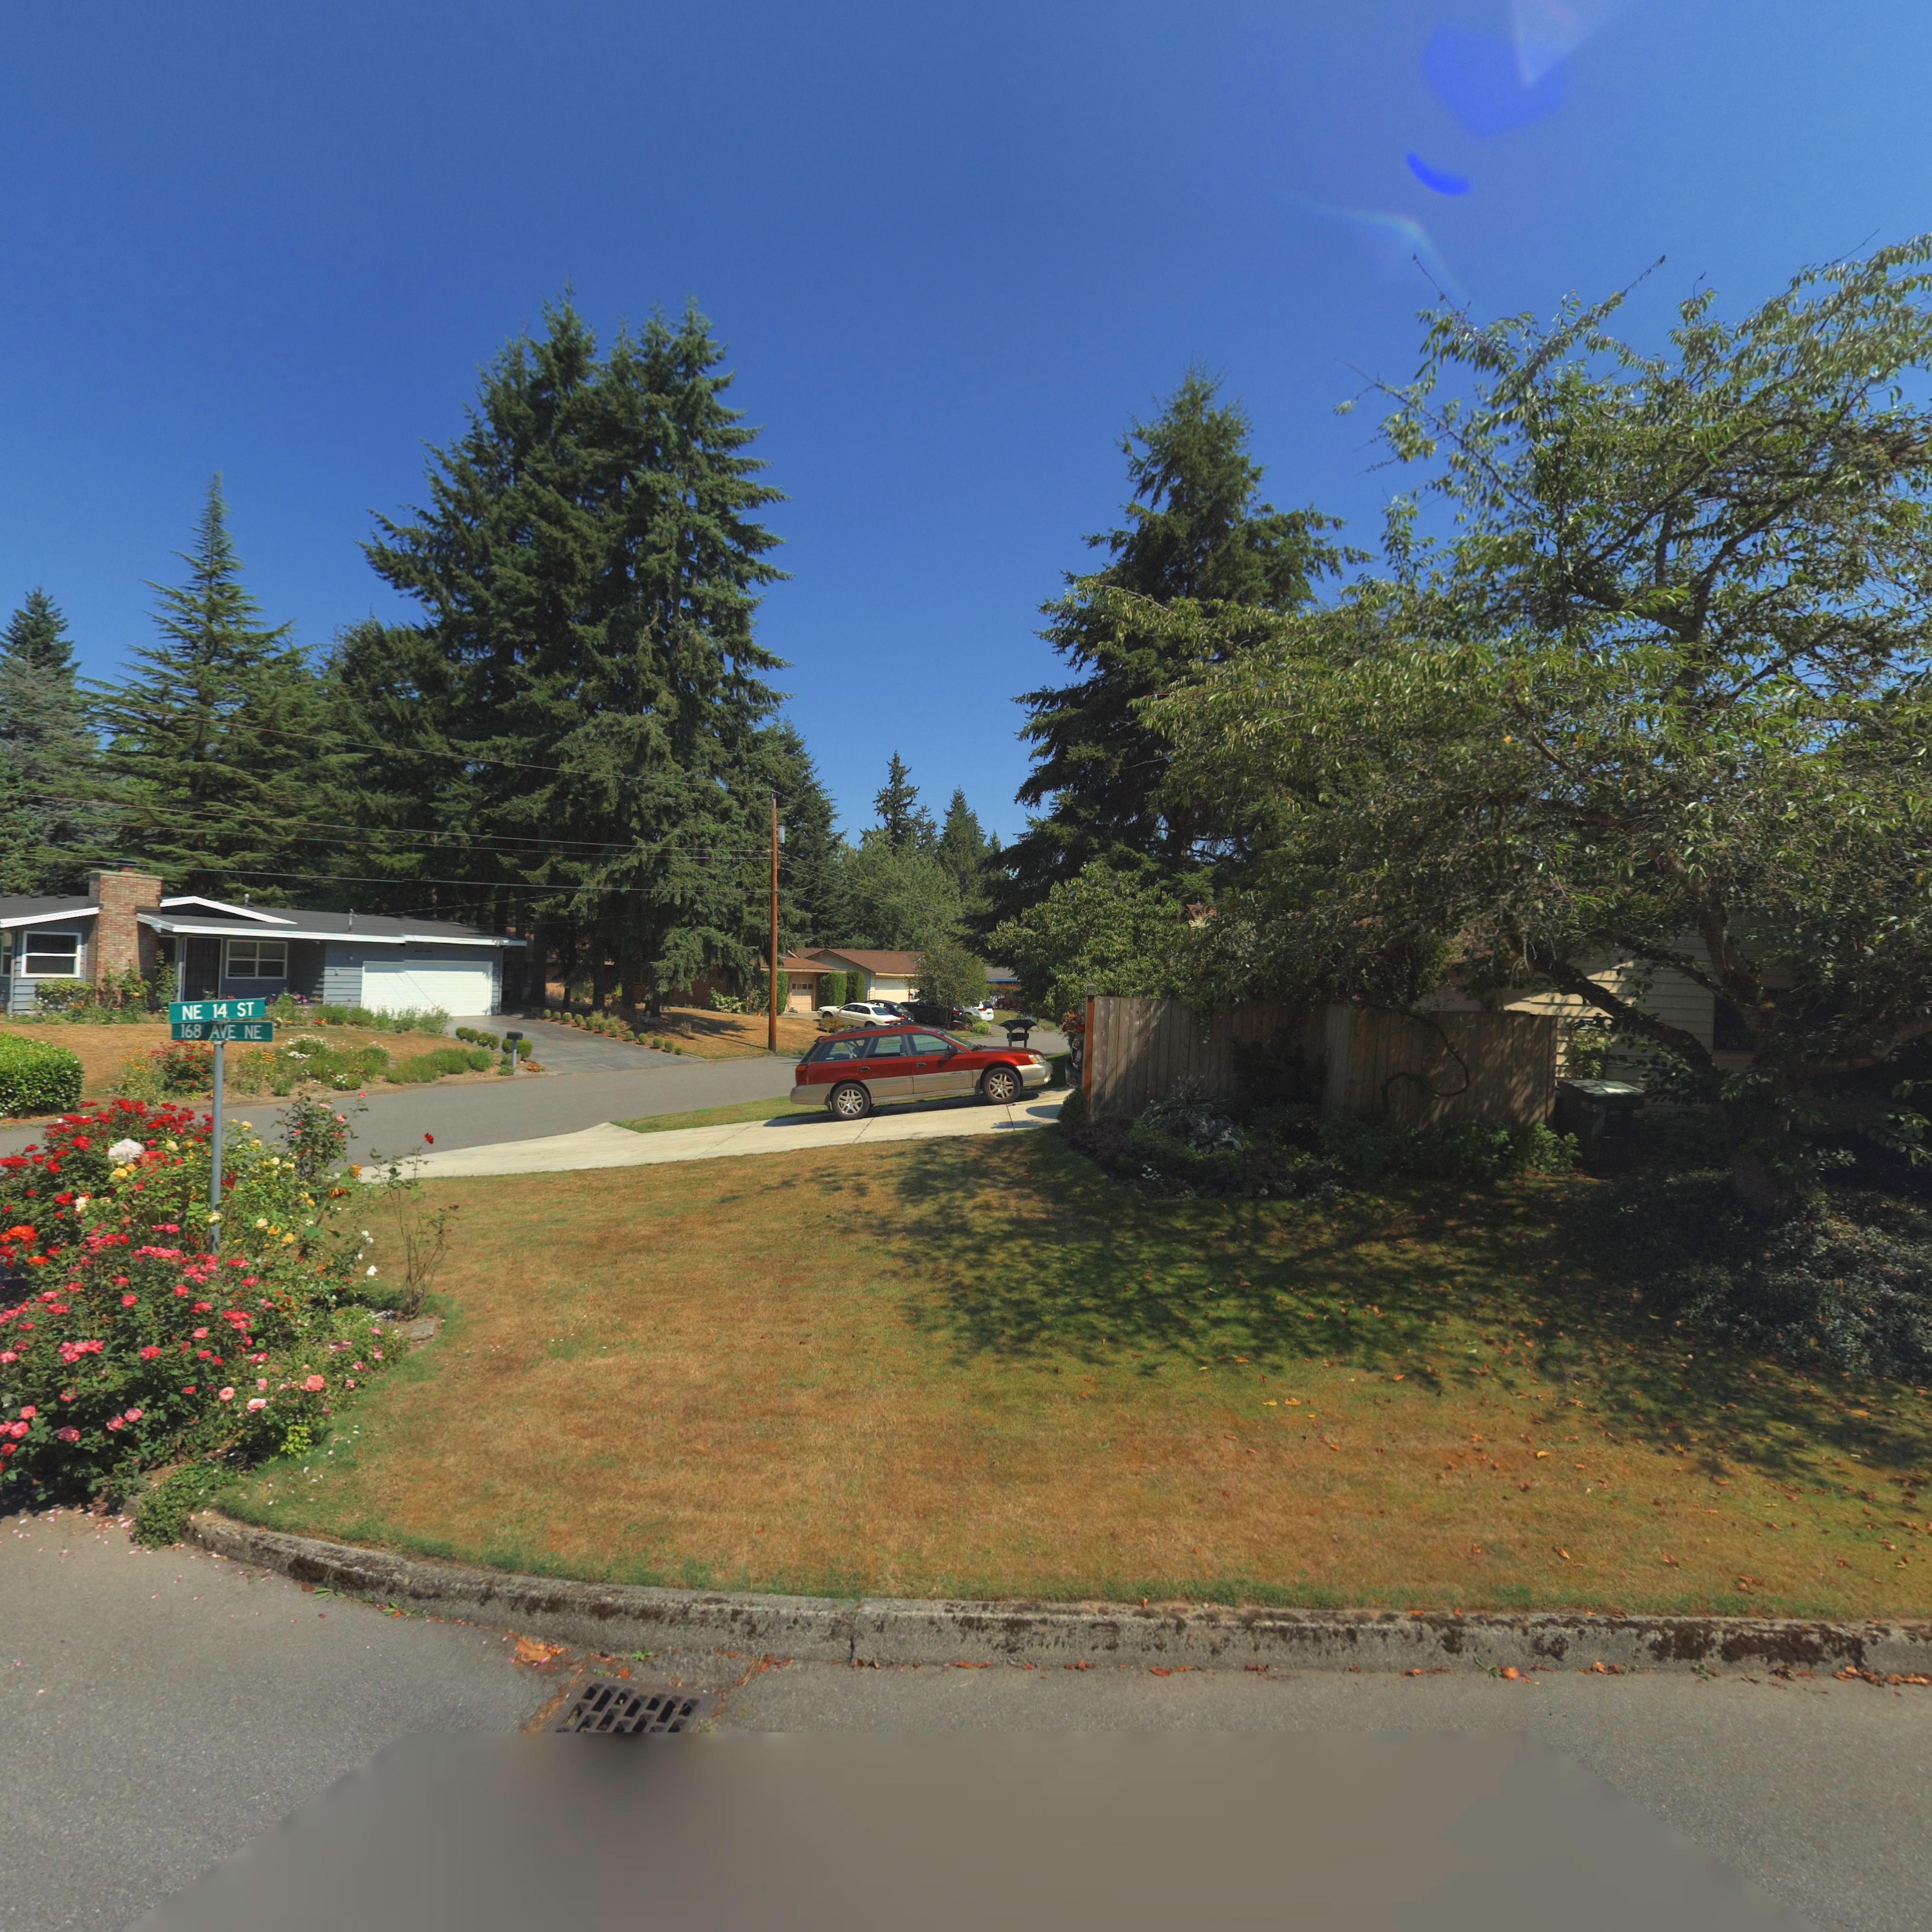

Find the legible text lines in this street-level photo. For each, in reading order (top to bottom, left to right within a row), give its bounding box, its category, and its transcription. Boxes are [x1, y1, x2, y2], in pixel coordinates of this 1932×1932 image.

[181, 1000, 254, 1021] StreetName: NE 14 ST
[180, 1023, 262, 1039] StreetName: 168 AVE NE